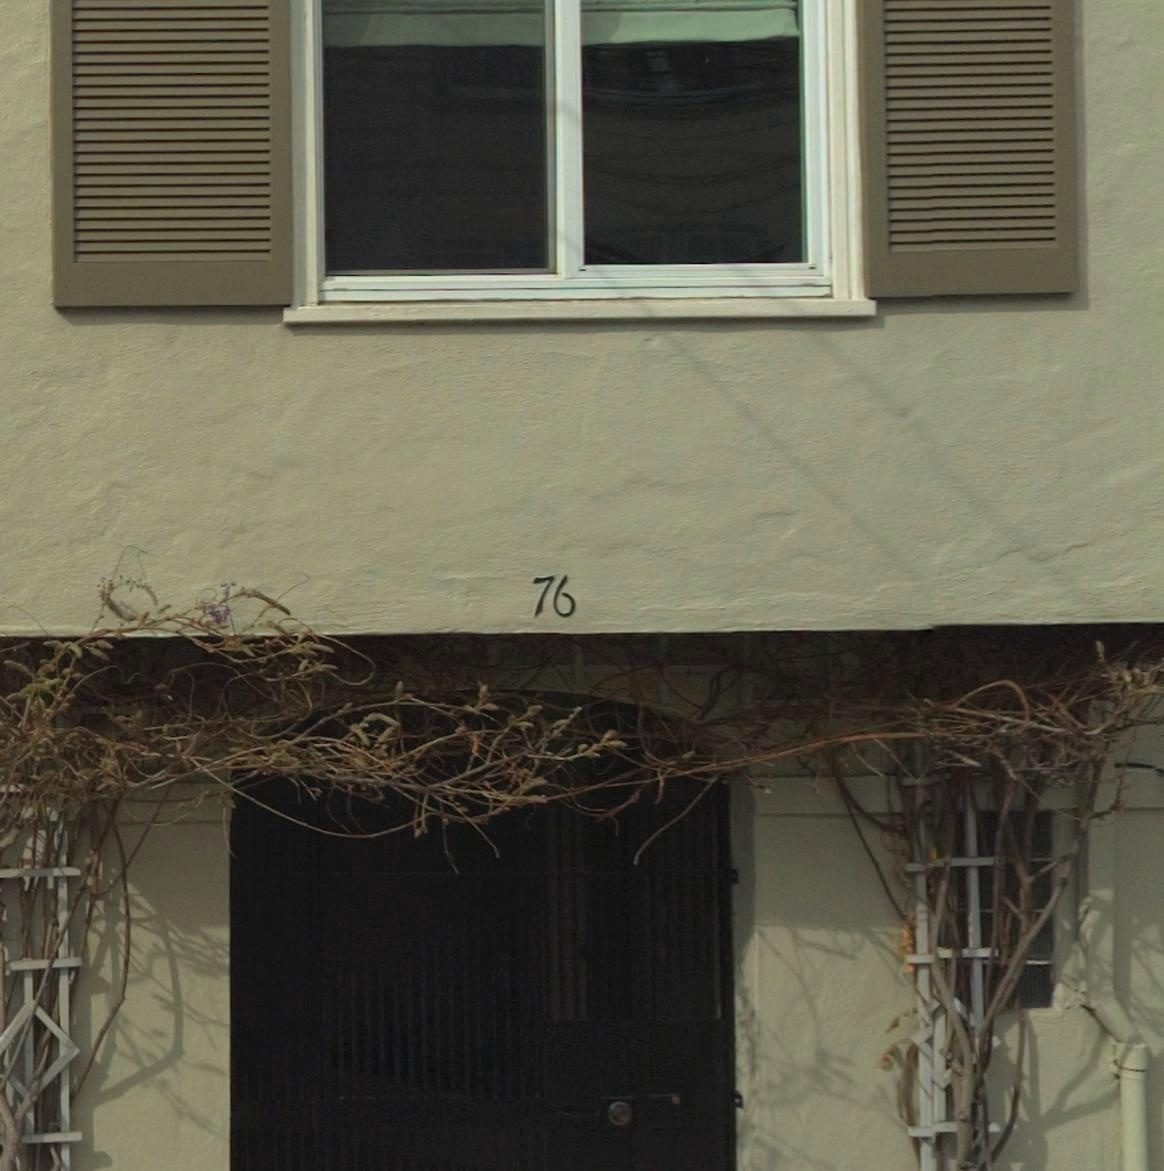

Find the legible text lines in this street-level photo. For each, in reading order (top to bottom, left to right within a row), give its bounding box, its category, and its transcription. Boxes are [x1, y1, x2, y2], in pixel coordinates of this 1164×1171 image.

[529, 573, 578, 620] StreetNumber: 76